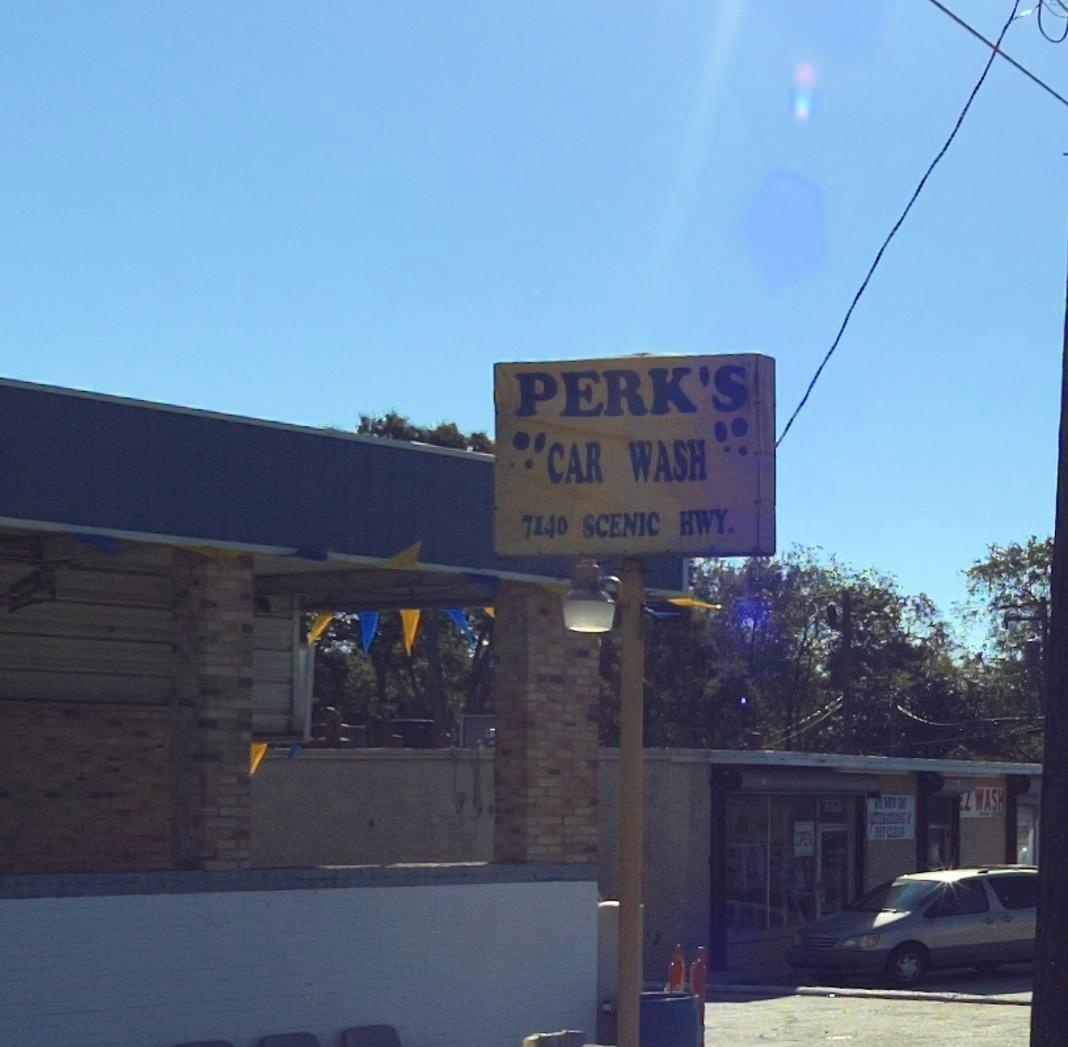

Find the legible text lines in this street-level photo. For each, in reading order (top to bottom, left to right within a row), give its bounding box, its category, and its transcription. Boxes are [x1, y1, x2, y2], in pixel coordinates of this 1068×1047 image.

[509, 359, 757, 423] BusinessName: PERK'S
[544, 436, 711, 489] BusinessName: CAR WASH
[518, 512, 571, 543] StreetNumber: 7140
[578, 504, 738, 542] StreetName: SCENIC HWY.
[972, 786, 1005, 813] BusinessName: WASH
[792, 828, 814, 851] None: OPEN